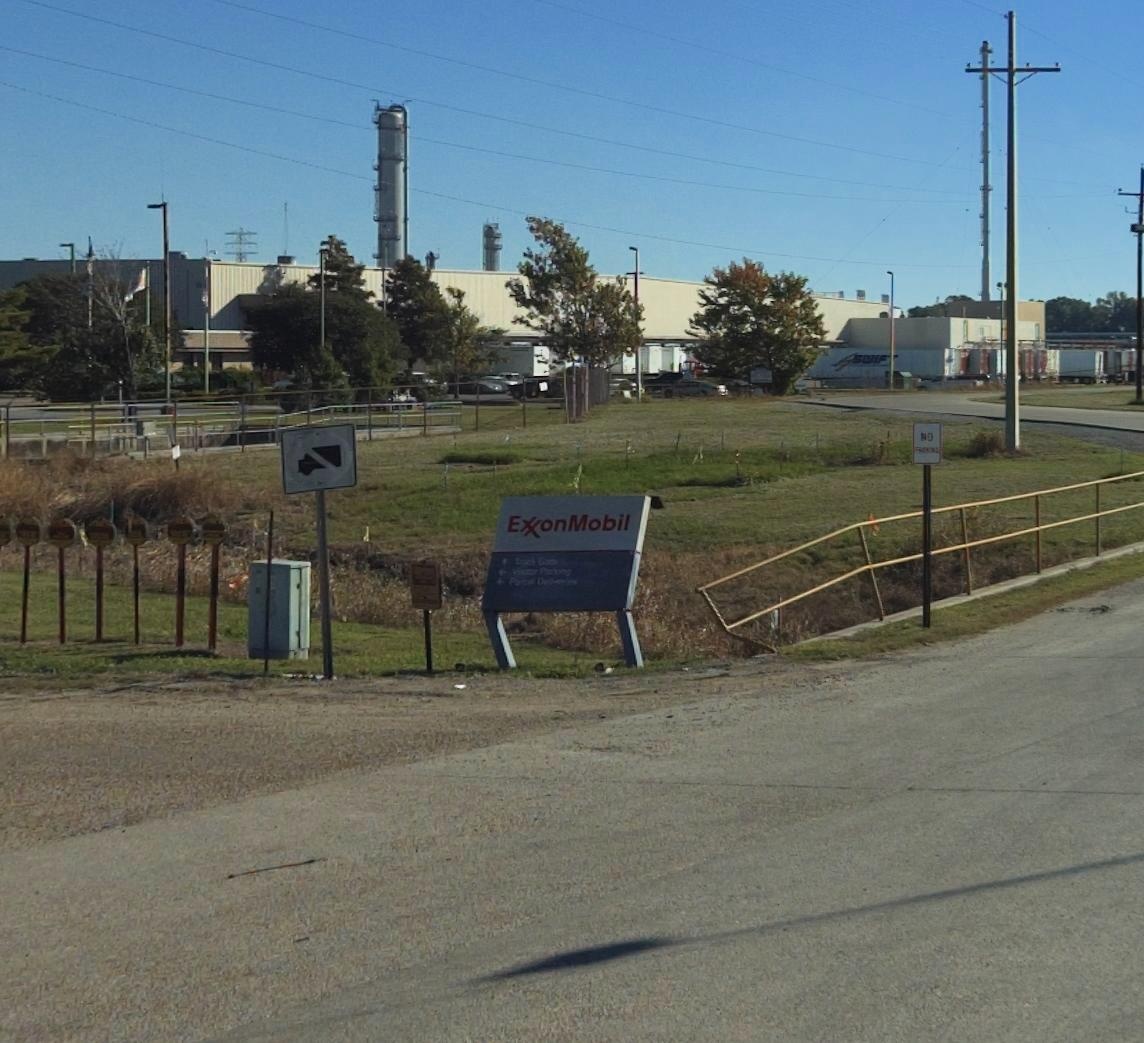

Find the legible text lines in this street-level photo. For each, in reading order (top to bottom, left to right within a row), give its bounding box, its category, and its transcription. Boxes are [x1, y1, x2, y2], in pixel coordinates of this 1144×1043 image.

[919, 431, 935, 443] None: NO
[506, 513, 632, 539] BusinessName: Exxon Mobil